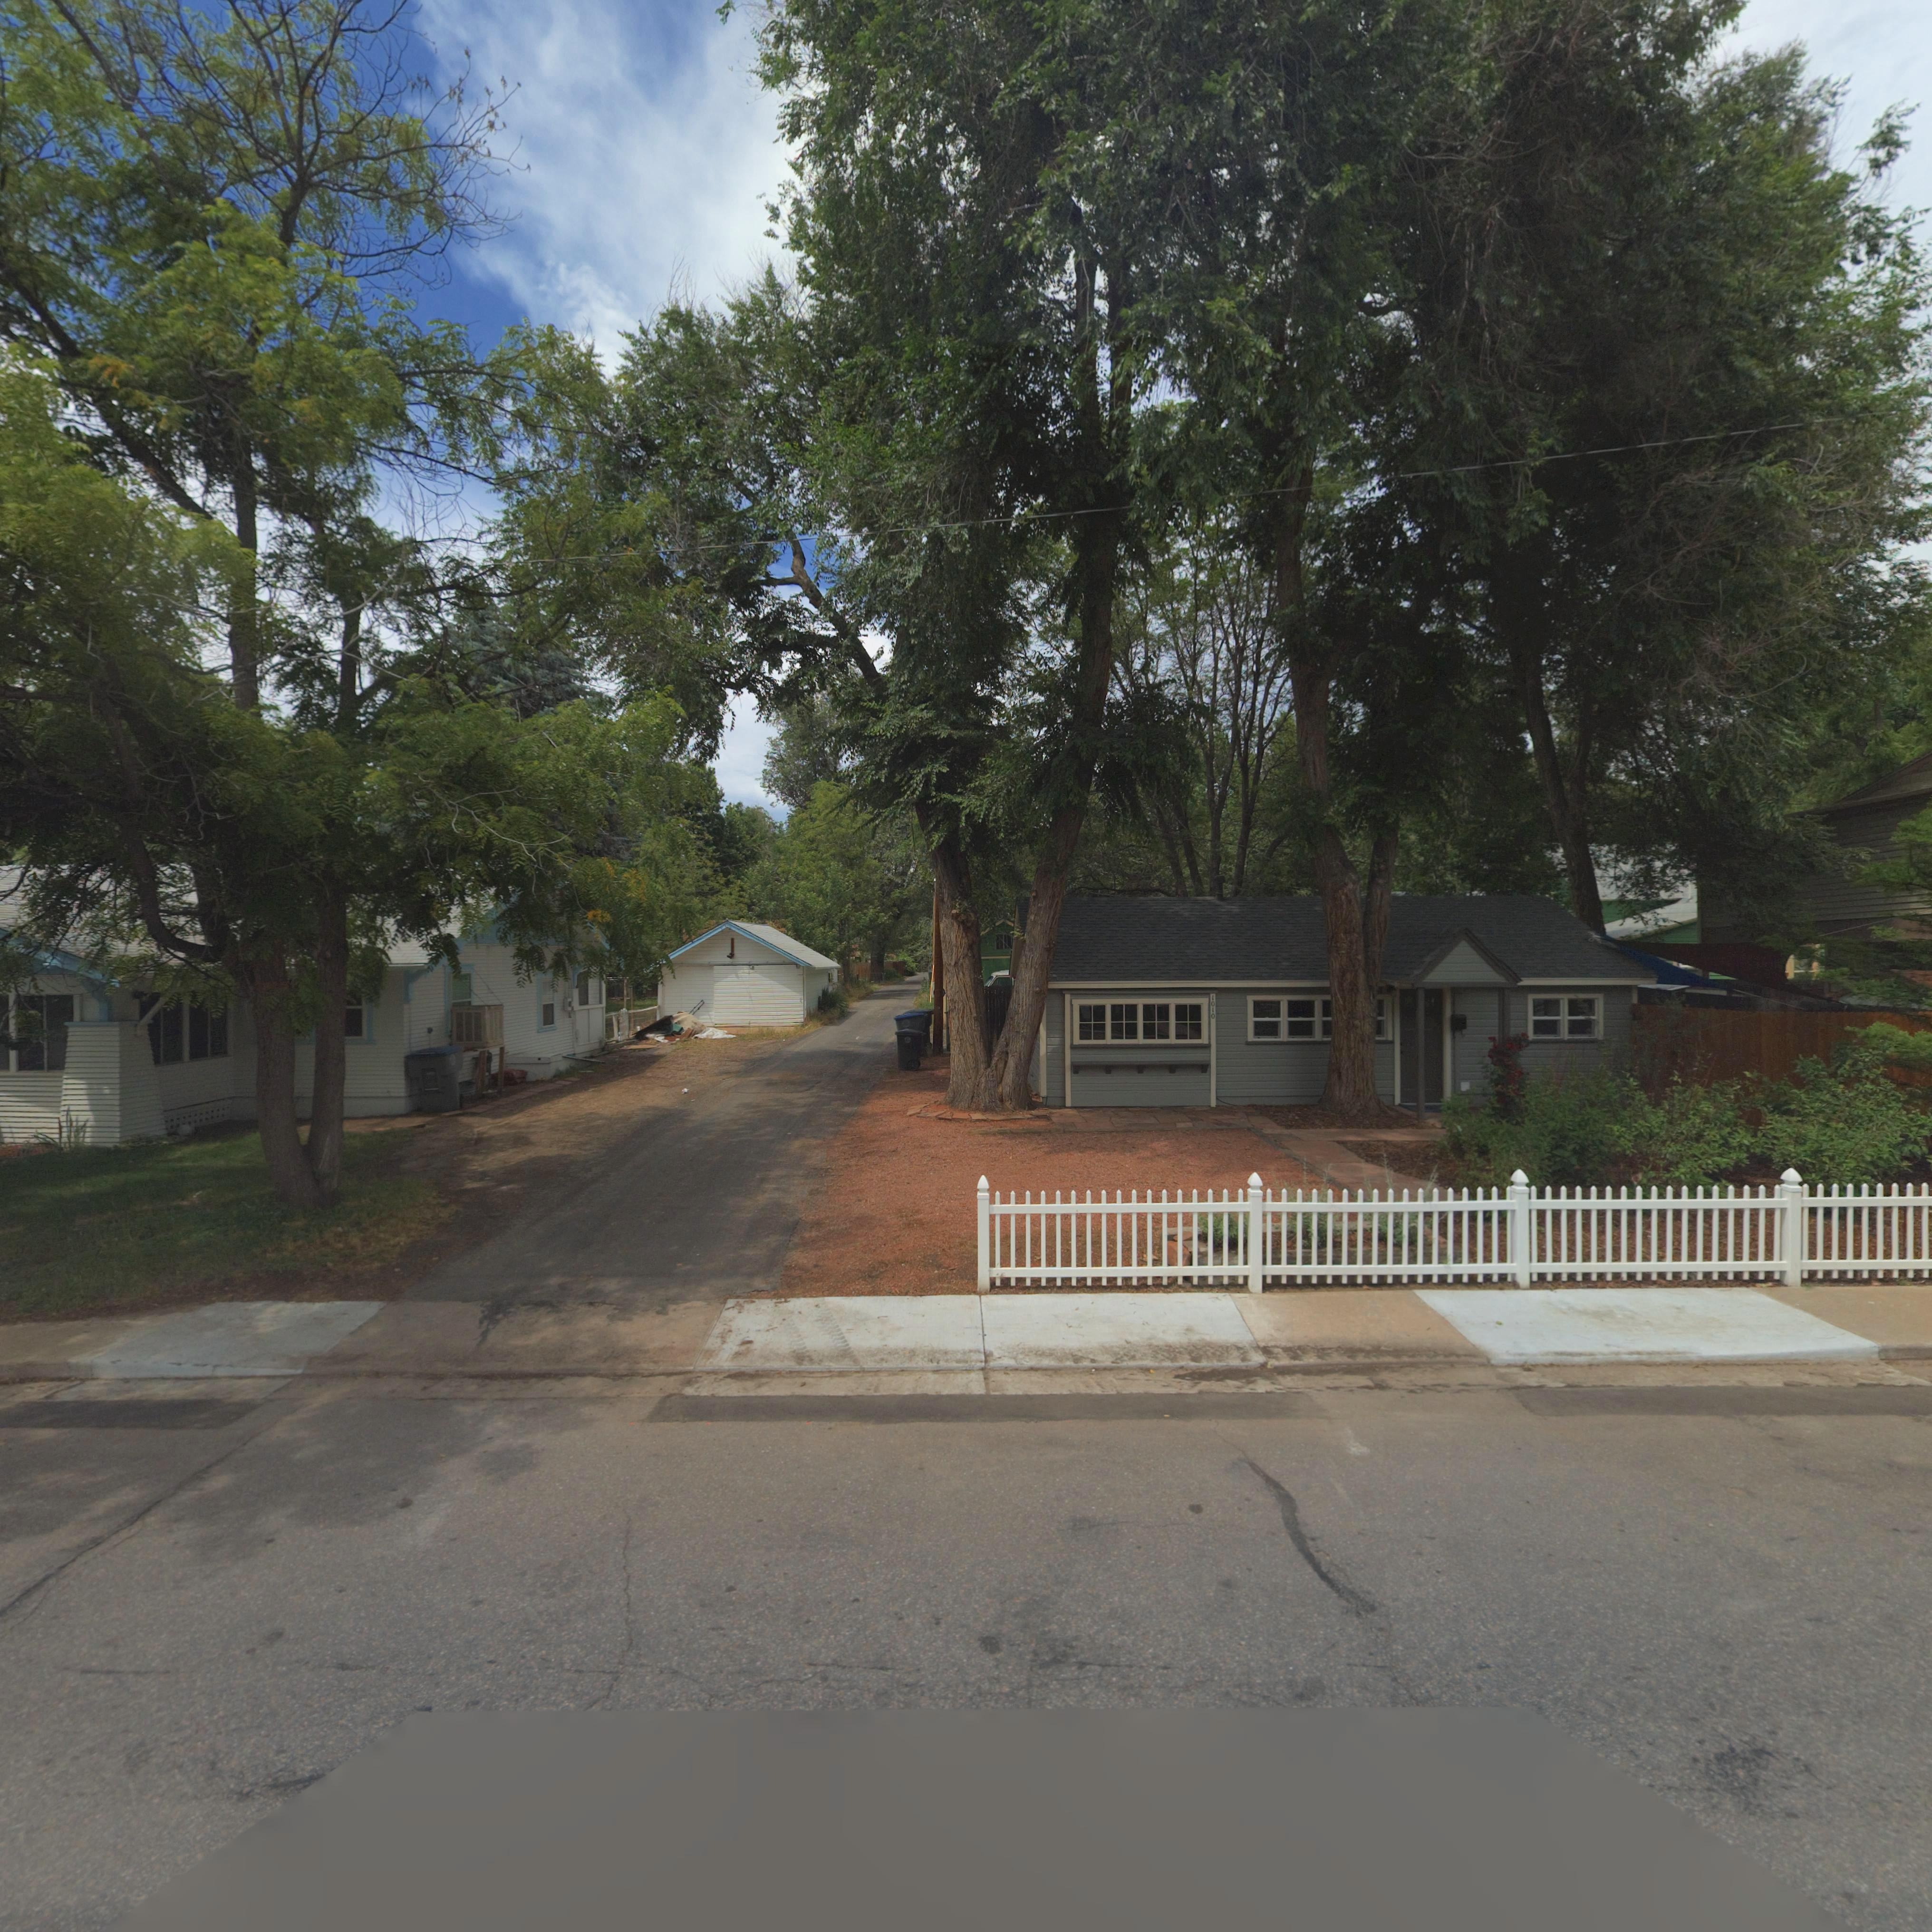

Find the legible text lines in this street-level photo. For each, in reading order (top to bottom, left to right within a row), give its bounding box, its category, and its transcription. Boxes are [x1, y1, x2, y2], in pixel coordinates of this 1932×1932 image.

[1210, 995, 1215, 1019] StreetNumber: 1010